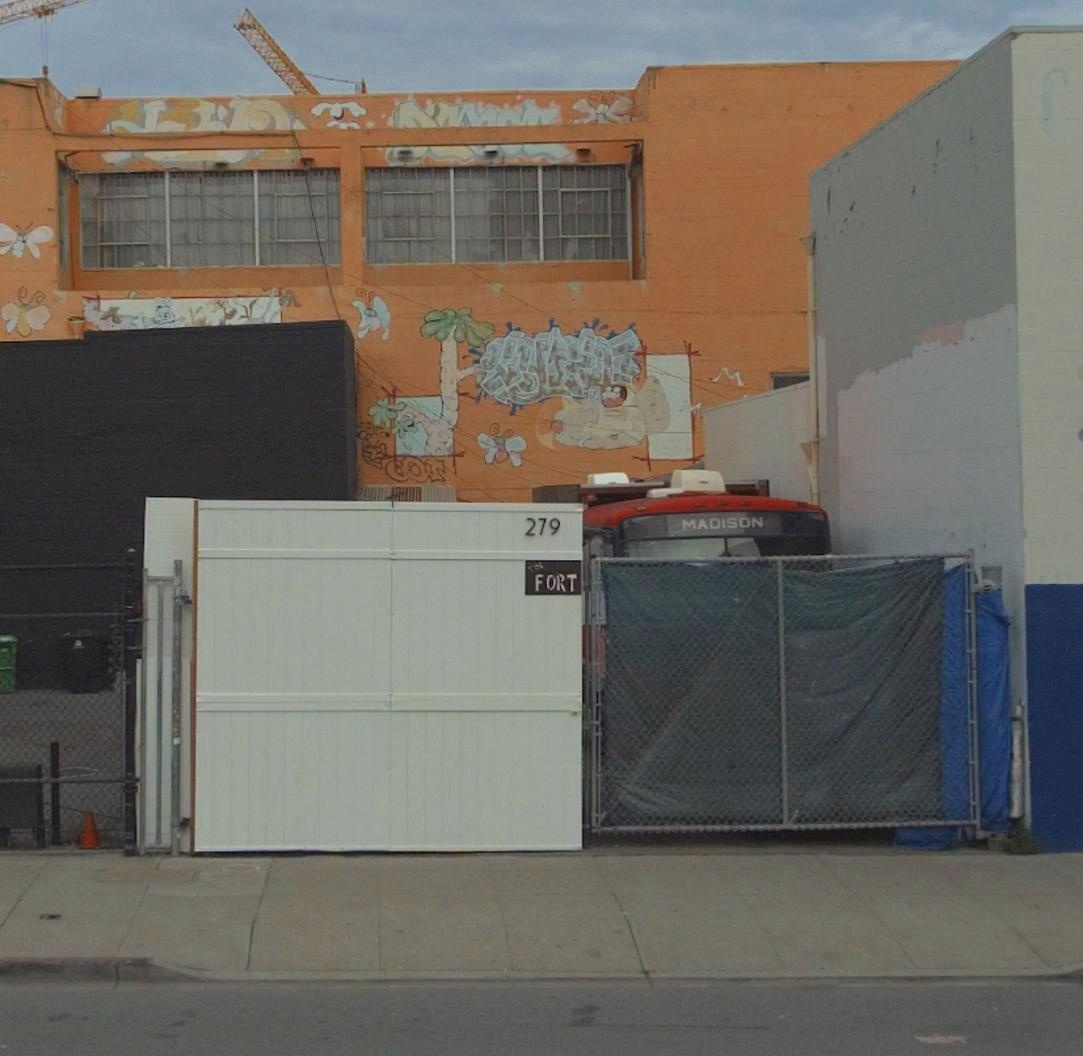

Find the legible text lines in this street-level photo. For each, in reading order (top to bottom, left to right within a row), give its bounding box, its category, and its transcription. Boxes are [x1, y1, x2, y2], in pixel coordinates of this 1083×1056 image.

[383, 454, 450, 485] None: O**
[523, 515, 563, 538] StreetNumber: 279
[680, 514, 766, 532] None: MADISON
[533, 570, 580, 595] StreetName: FORT